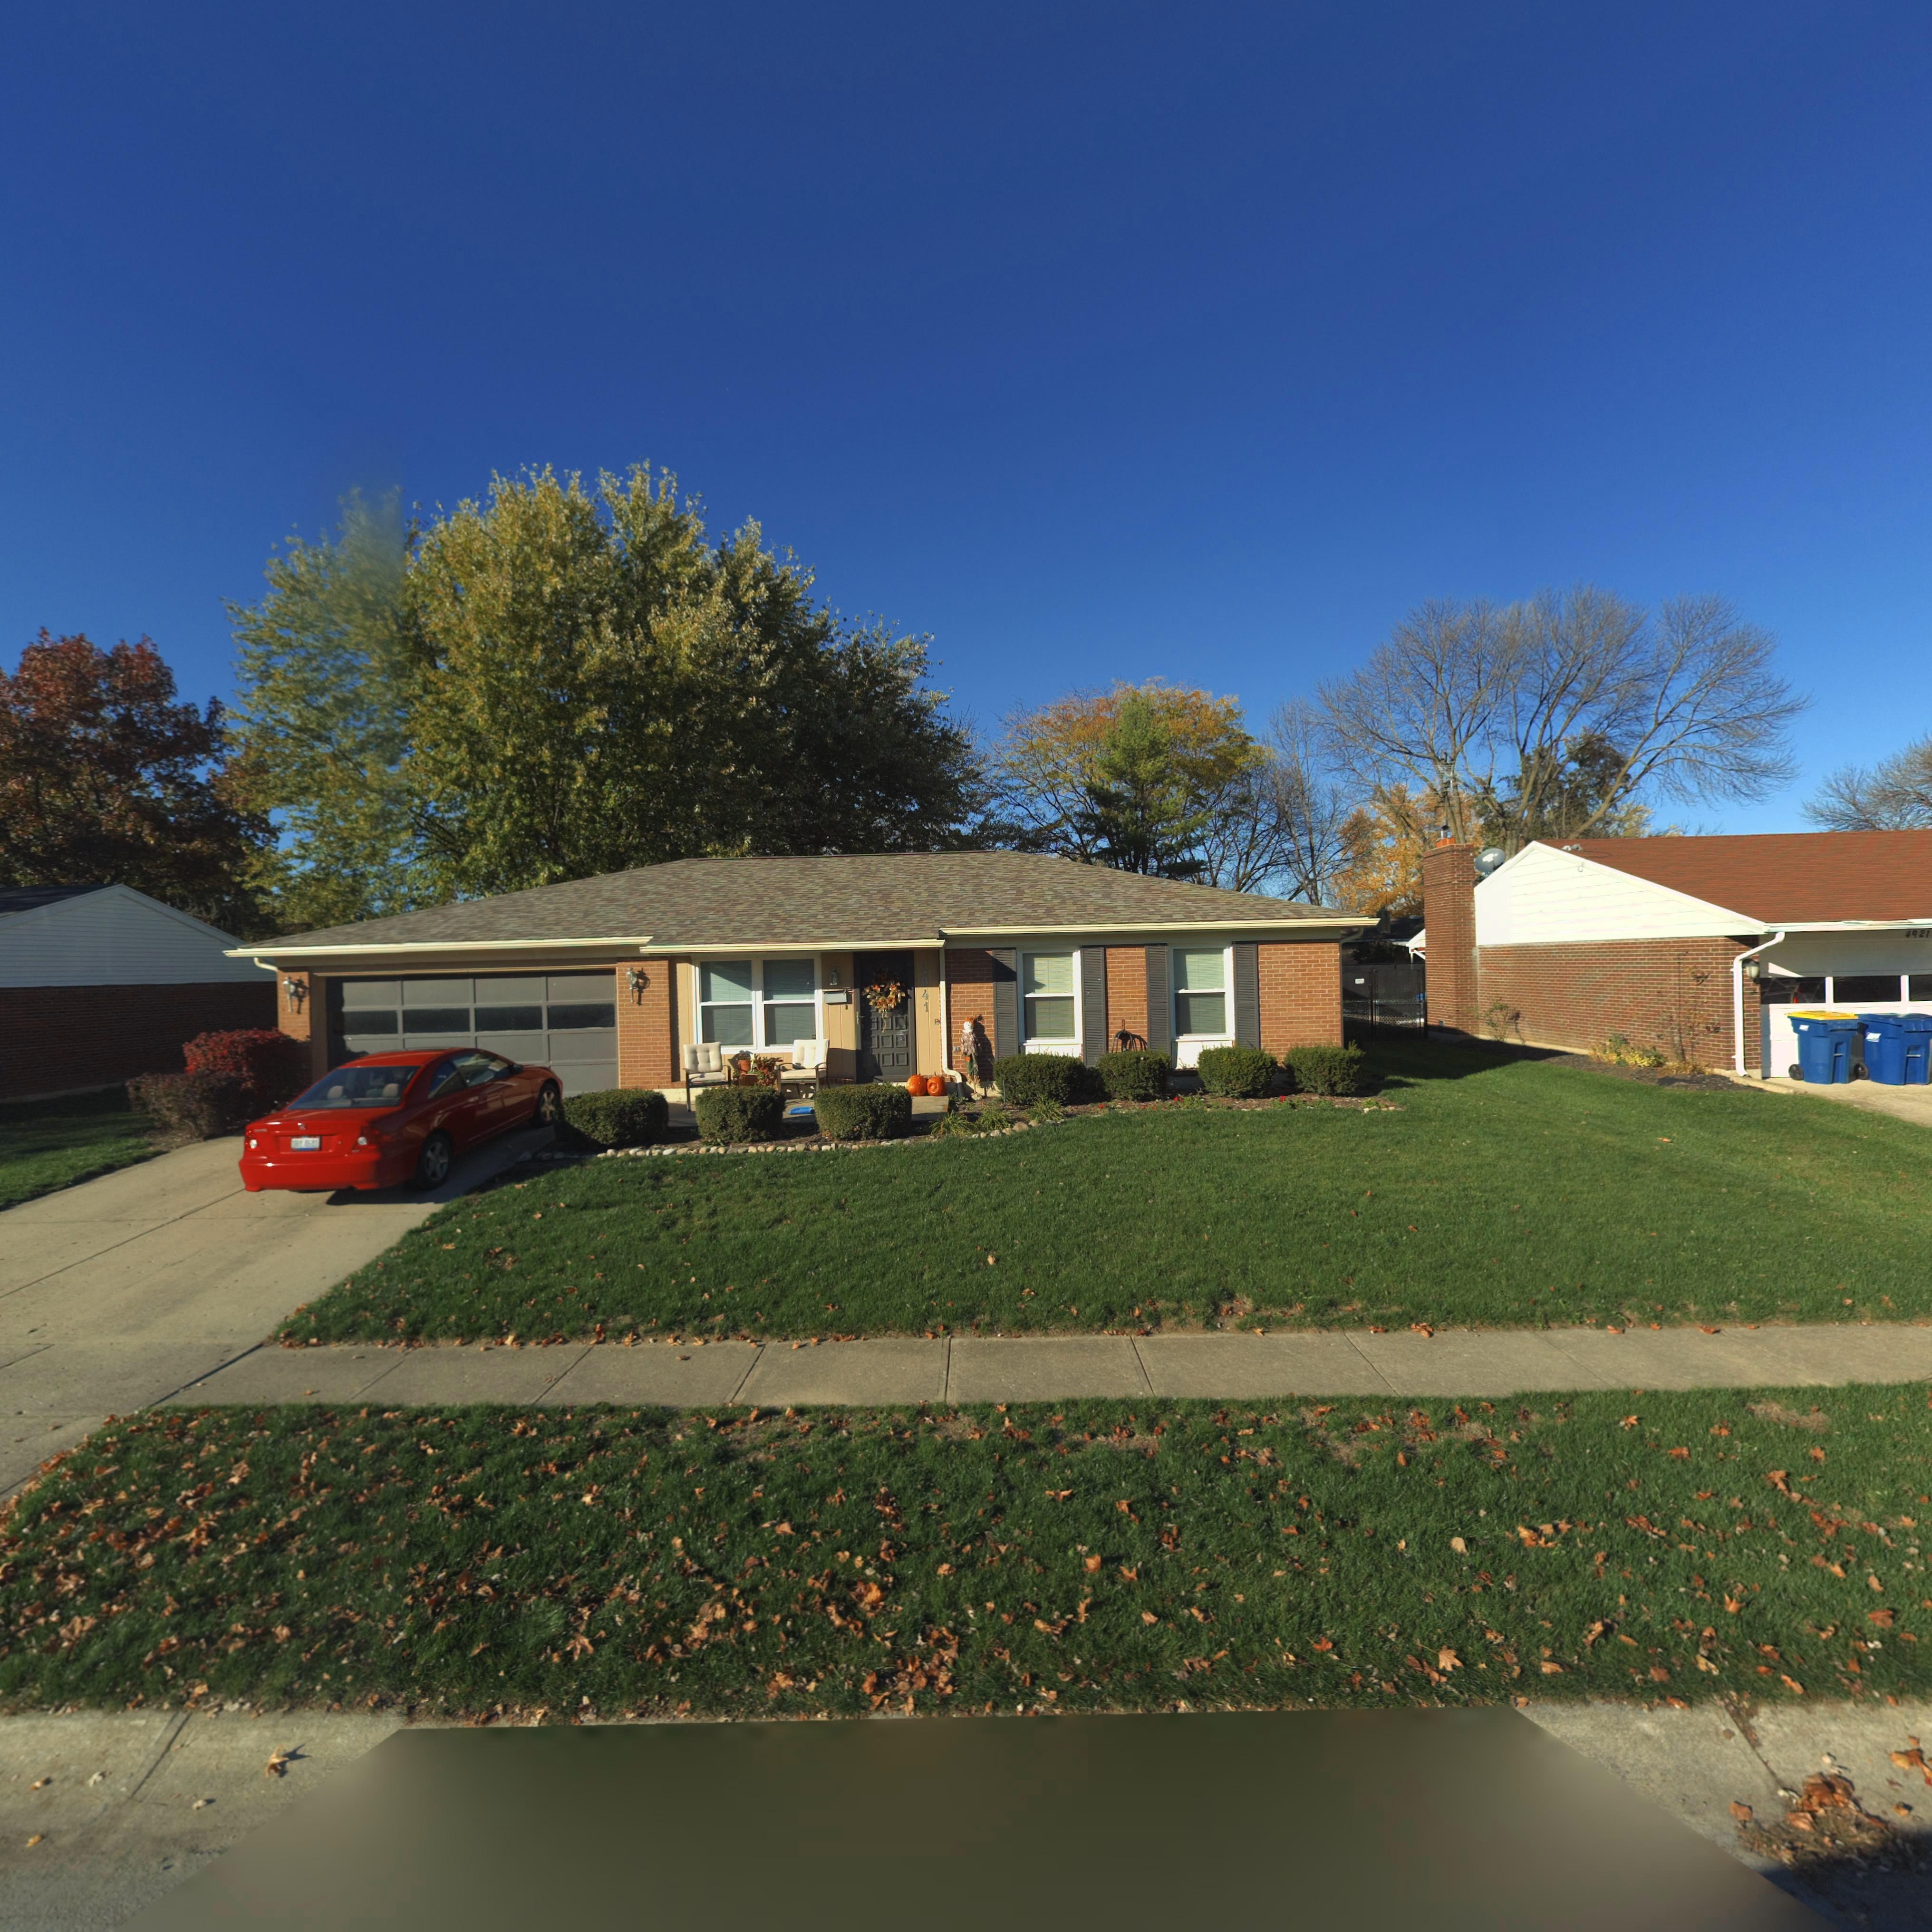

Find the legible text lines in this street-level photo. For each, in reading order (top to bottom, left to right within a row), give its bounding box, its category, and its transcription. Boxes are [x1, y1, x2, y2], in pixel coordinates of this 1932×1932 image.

[1903, 929, 1931, 939] StreetNumber: 4921
[919, 963, 929, 1013] StreetNumber: 4941